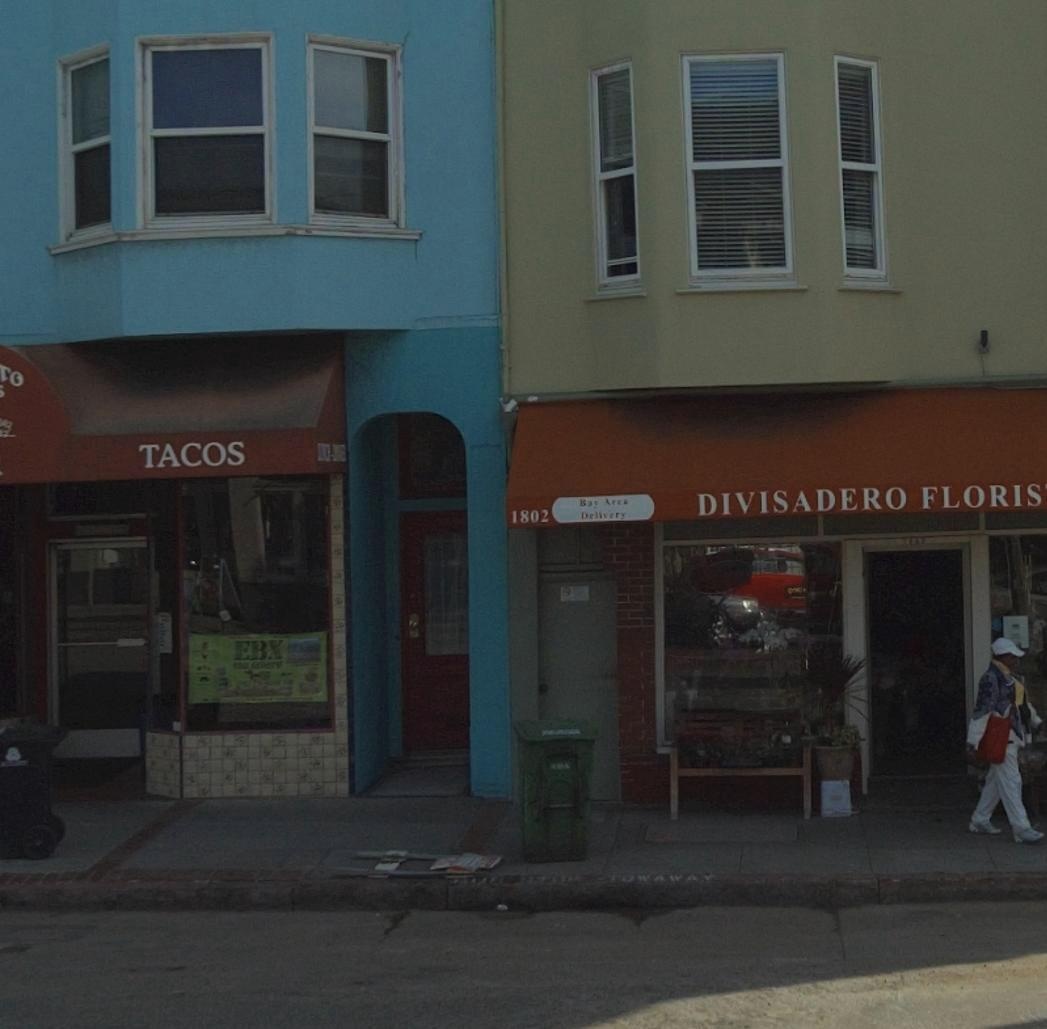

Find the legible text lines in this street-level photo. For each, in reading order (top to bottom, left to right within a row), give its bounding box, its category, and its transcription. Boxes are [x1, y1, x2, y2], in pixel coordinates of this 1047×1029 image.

[7, 369, 26, 389] BusinessName: O
[136, 438, 249, 471] None: TACOS
[578, 495, 631, 511] None: Bay Area
[694, 481, 1044, 519] BusinessName: DIVISADERO FLORIS
[509, 507, 551, 526] StreetNumber: 1802
[578, 509, 629, 523] None: Delivery
[231, 637, 287, 663] None: EBX